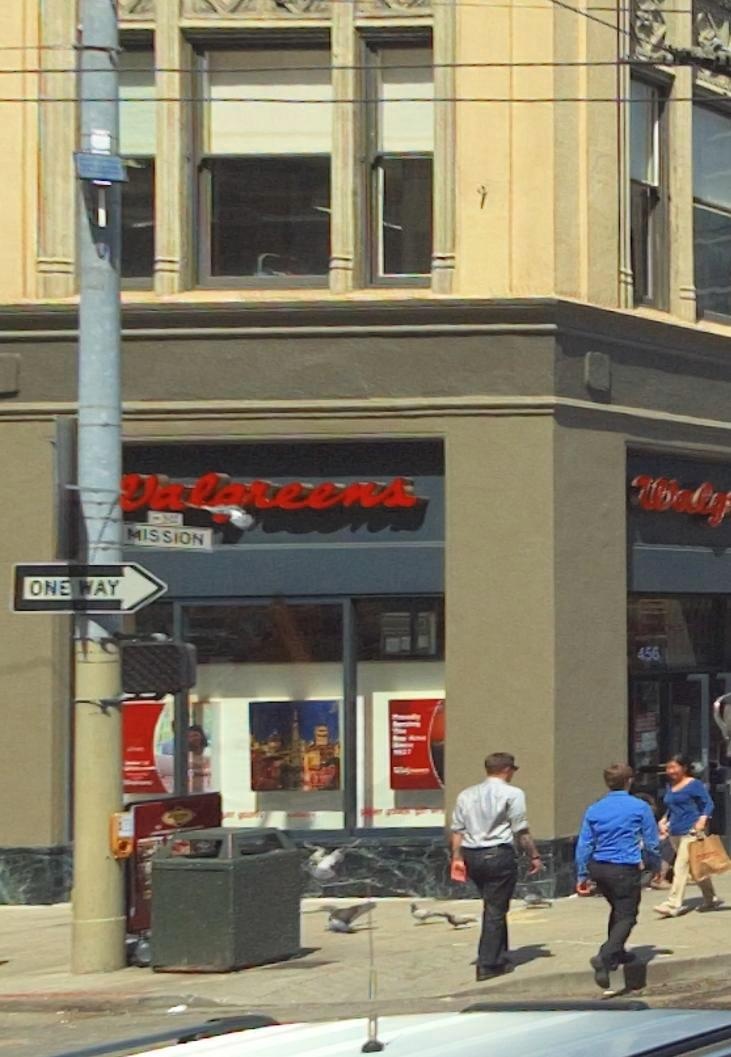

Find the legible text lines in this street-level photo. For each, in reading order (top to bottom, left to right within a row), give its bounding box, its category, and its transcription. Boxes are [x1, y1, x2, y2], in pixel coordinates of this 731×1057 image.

[117, 467, 423, 525] BusinessName: *algreens
[126, 524, 204, 547] StreetName: MISSION
[28, 577, 120, 598] None: ONE WAY